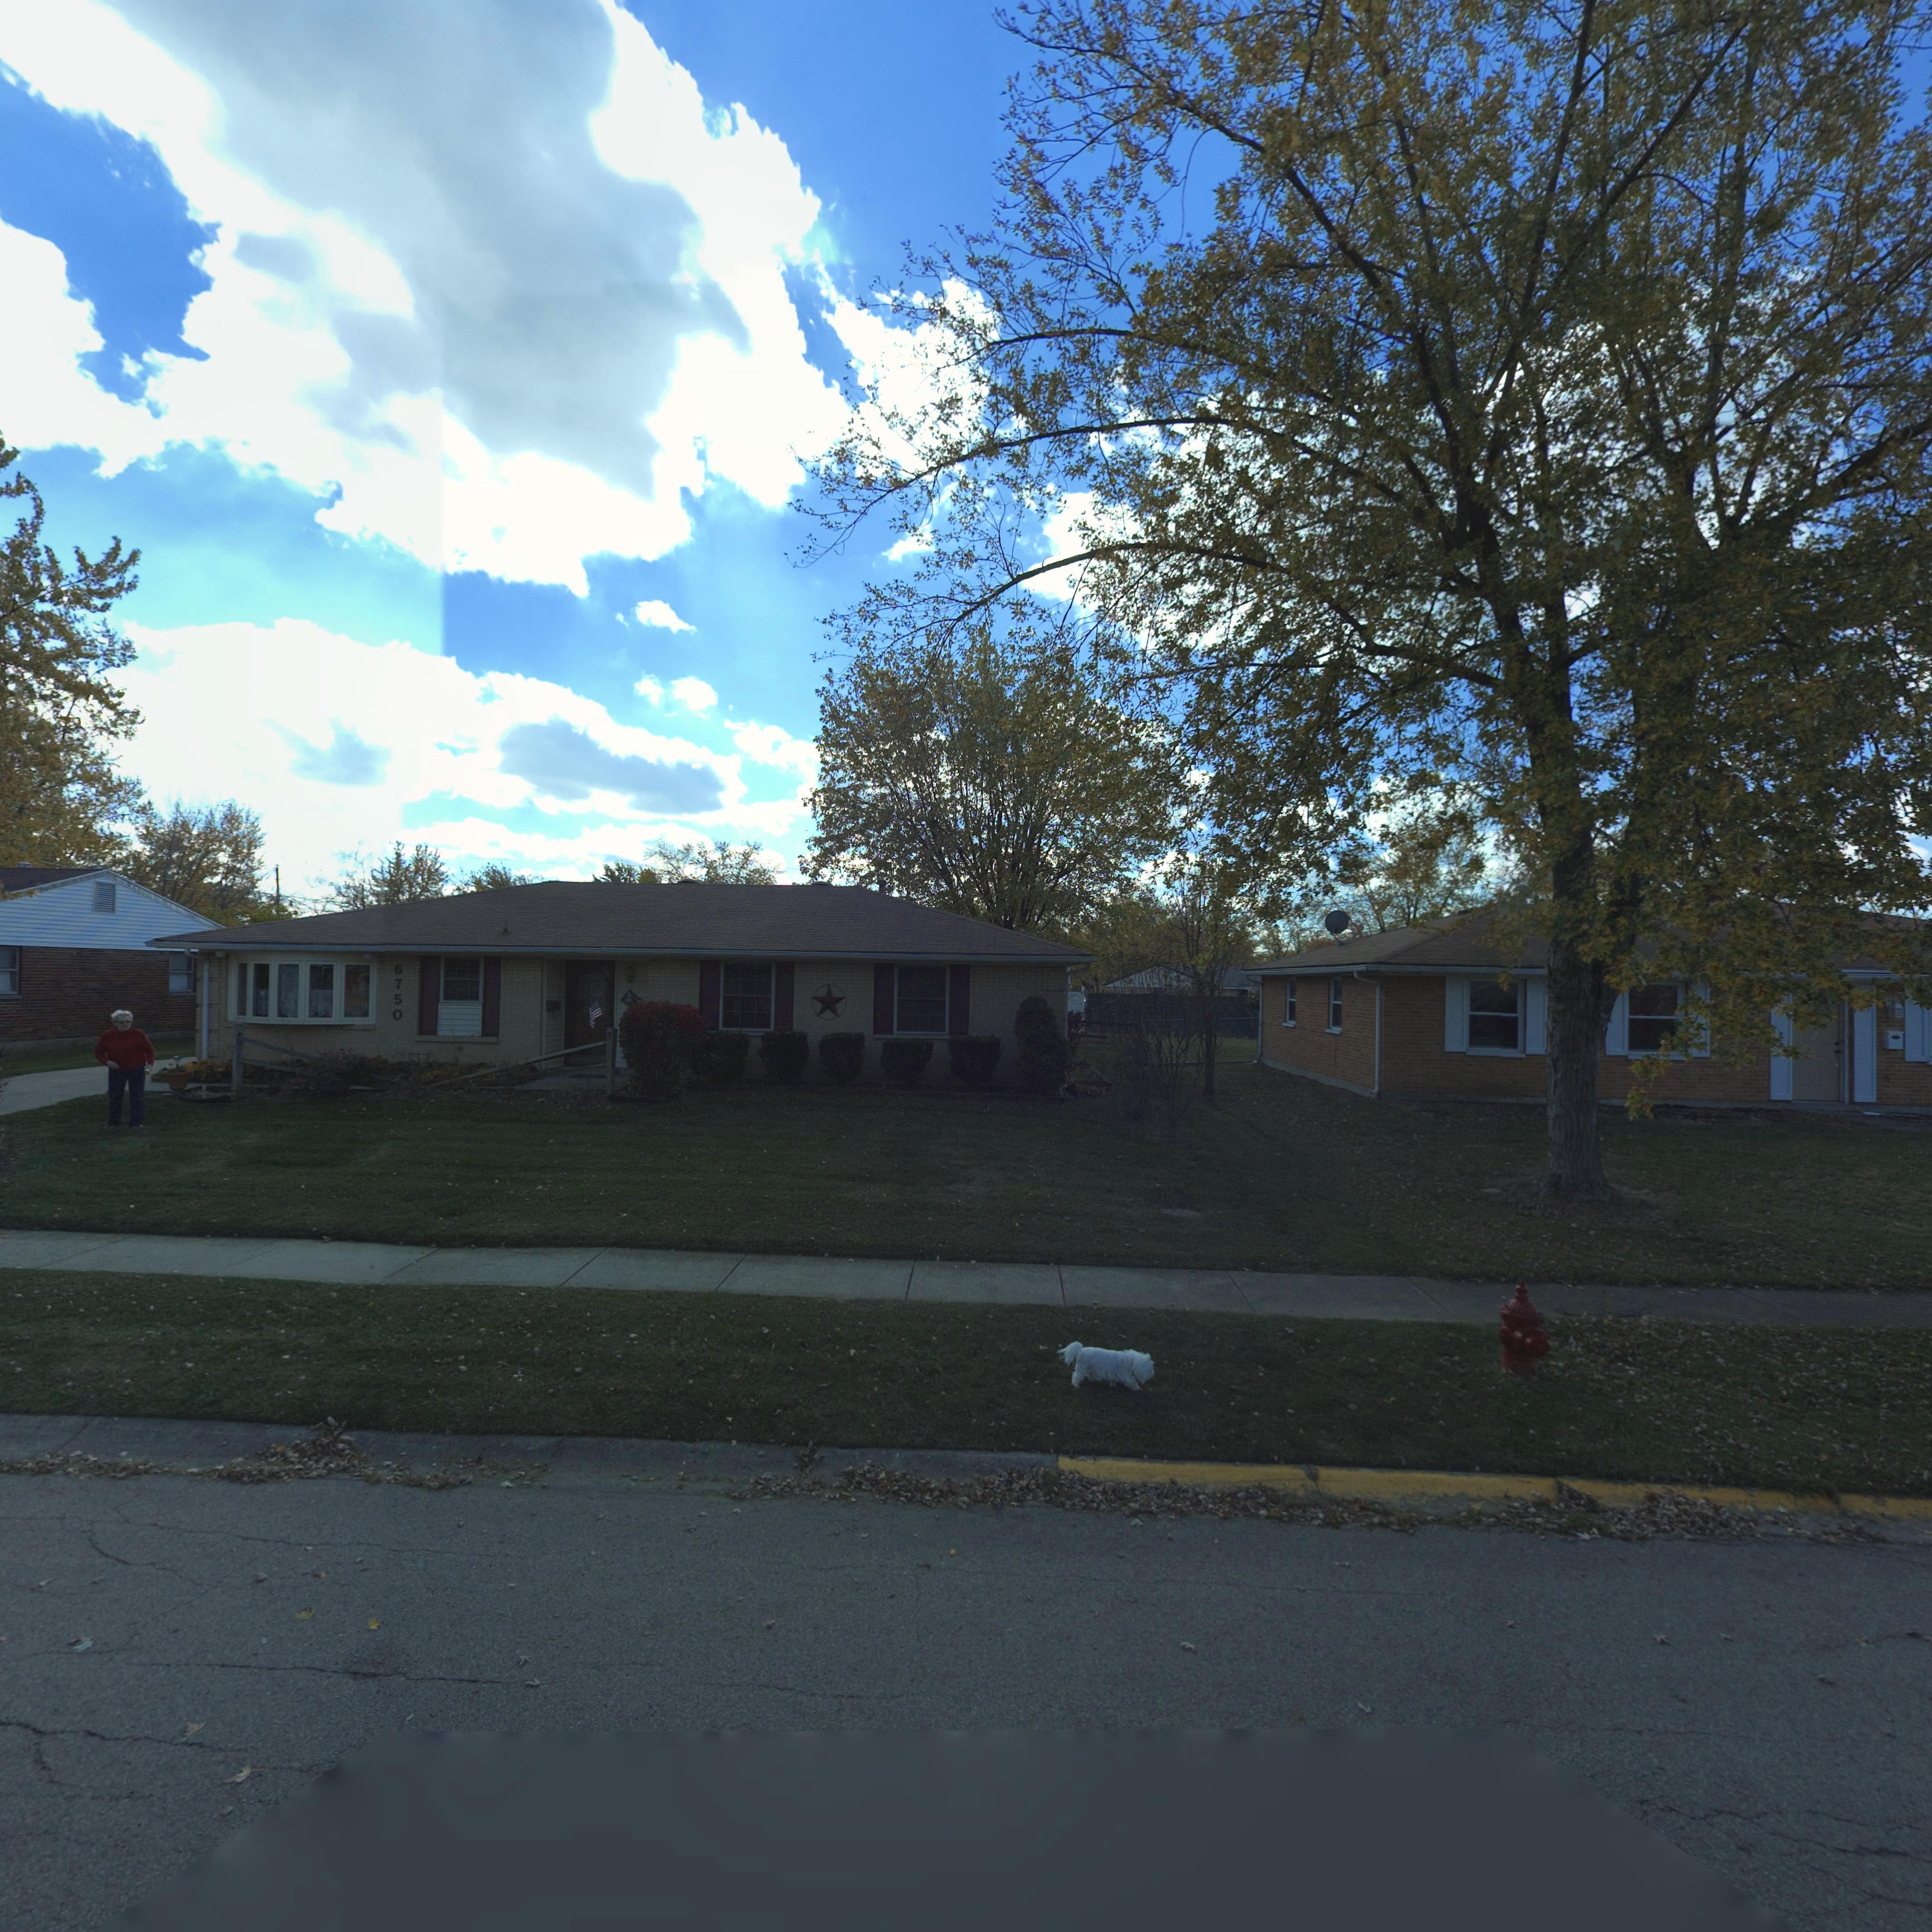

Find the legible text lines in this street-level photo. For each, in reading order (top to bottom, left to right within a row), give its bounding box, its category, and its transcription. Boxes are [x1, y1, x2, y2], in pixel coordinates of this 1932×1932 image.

[391, 962, 403, 1021] StreetNumber: 6750